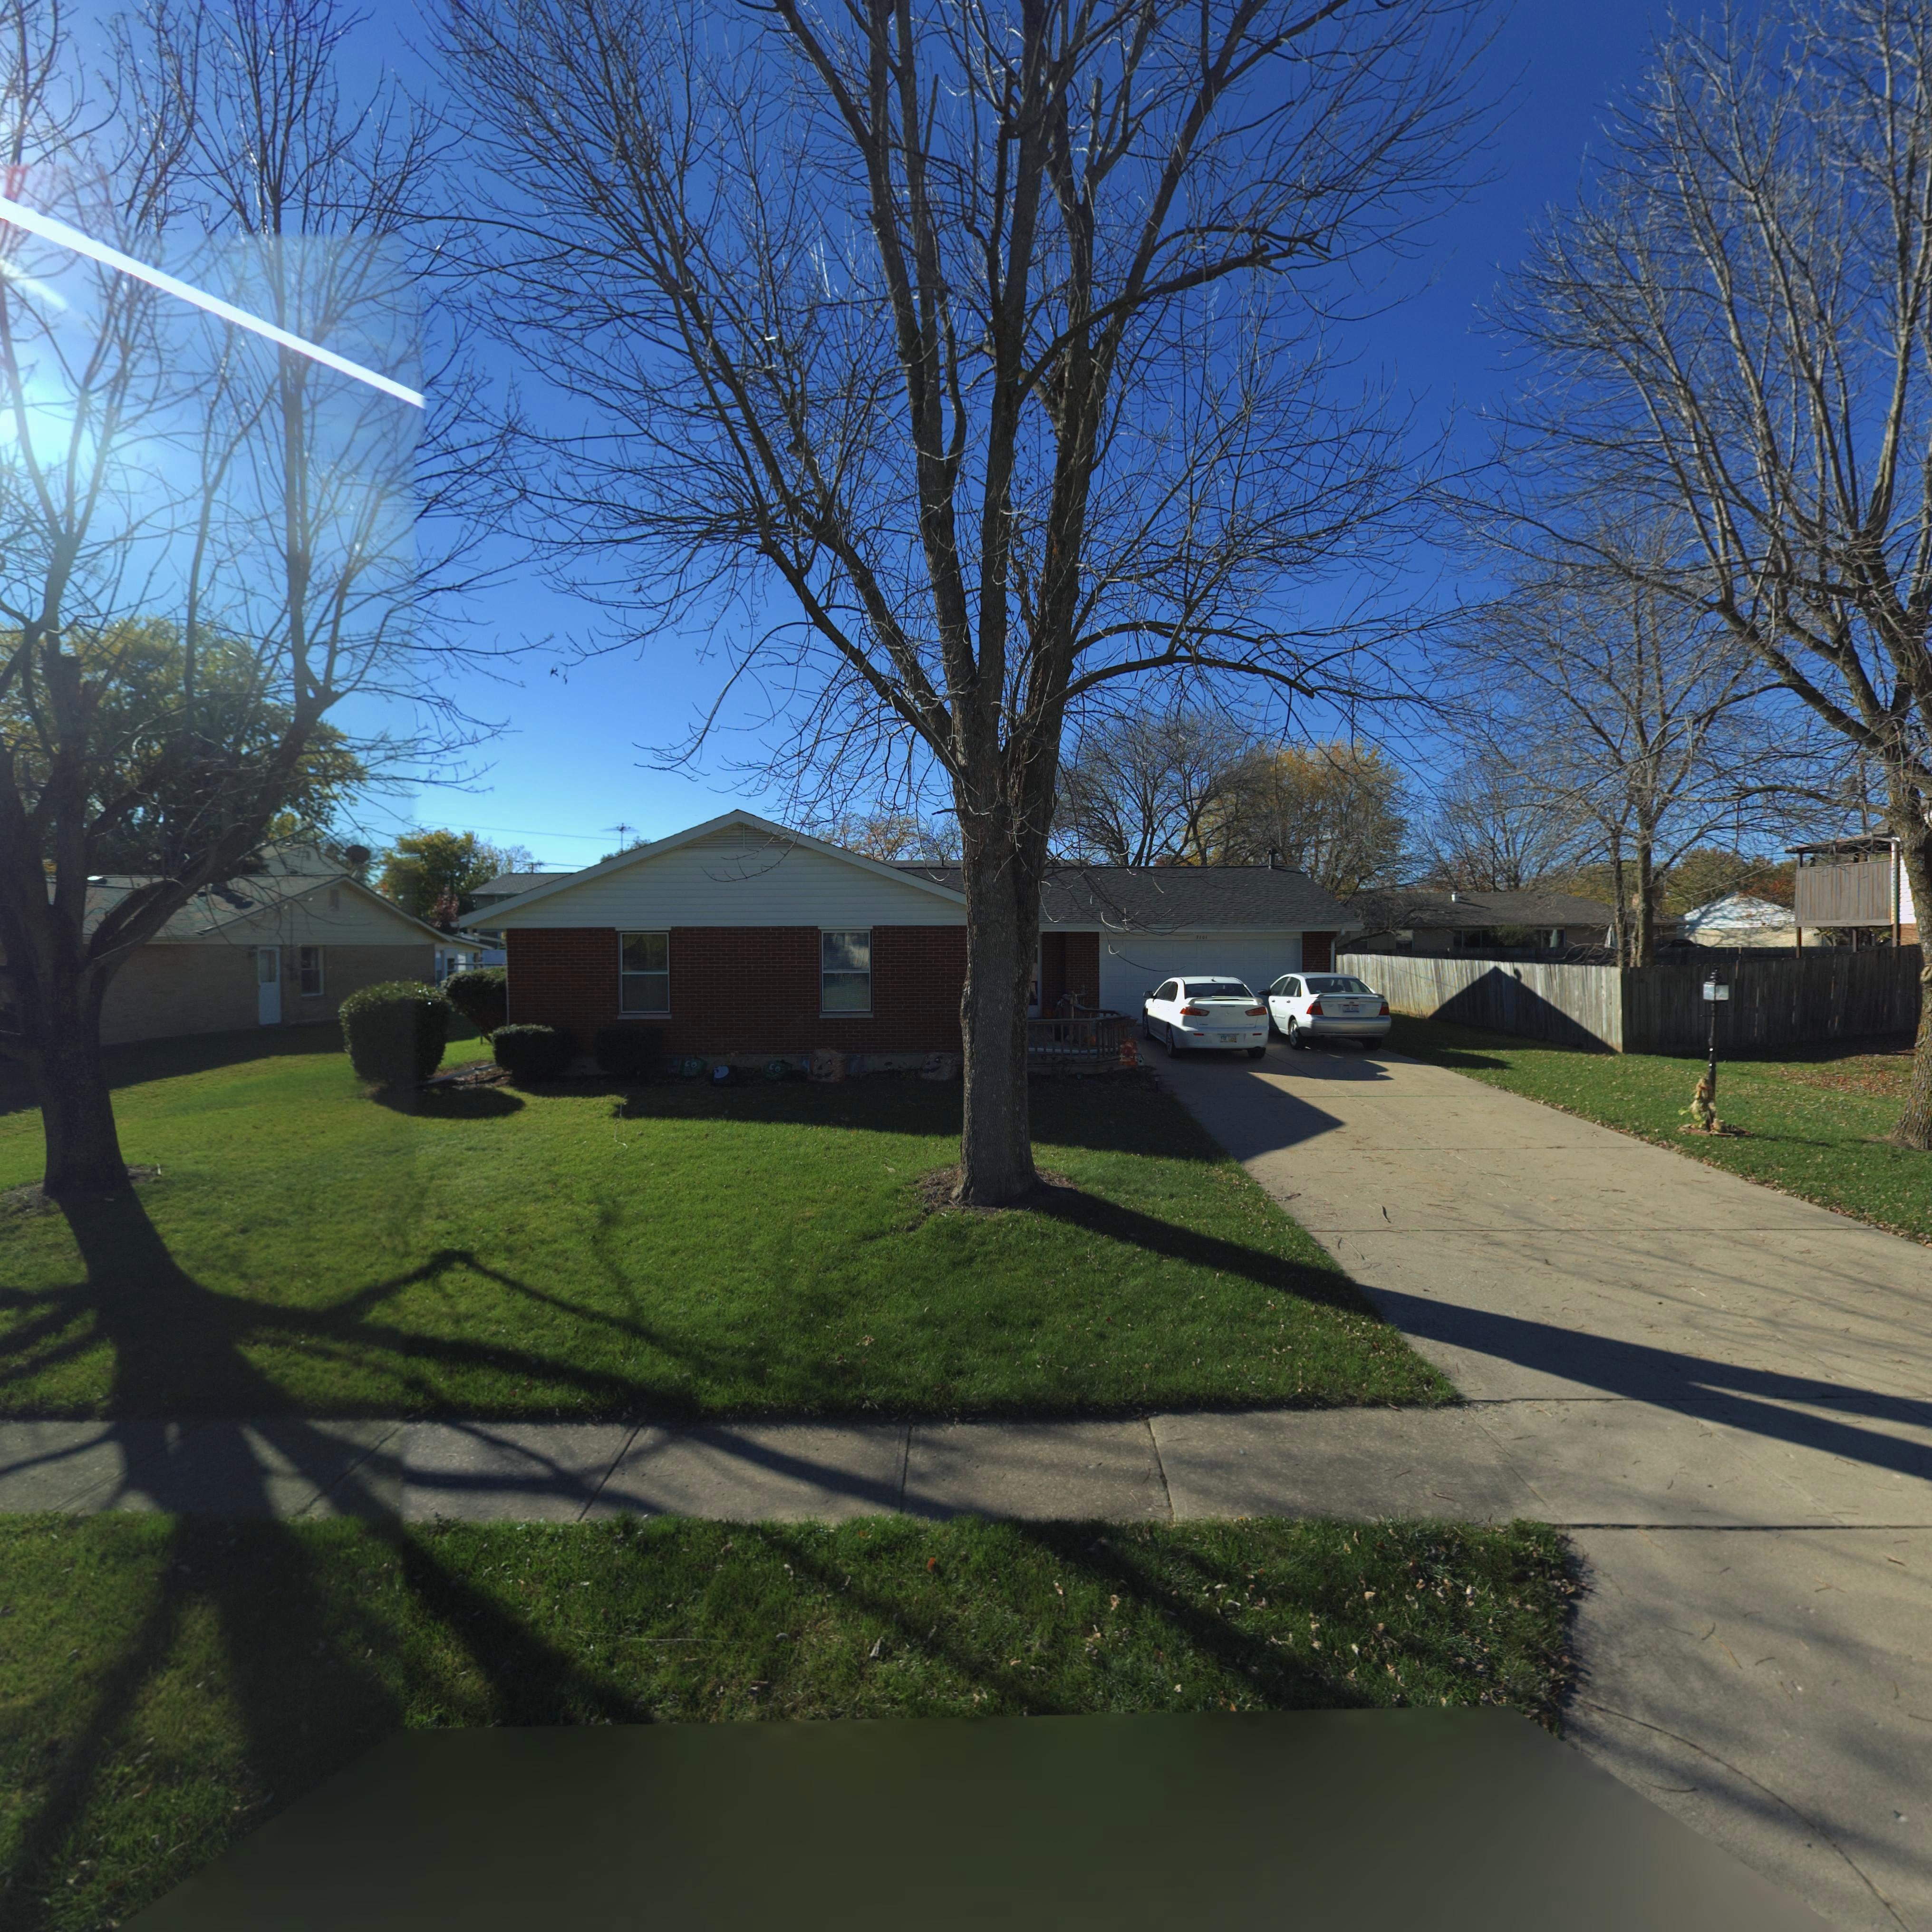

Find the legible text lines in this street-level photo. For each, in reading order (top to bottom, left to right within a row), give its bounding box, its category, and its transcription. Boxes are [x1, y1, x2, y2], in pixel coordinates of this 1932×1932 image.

[1195, 934, 1208, 941] StreetNumber: 7101
[1227, 1036, 1236, 1041] None: 115*